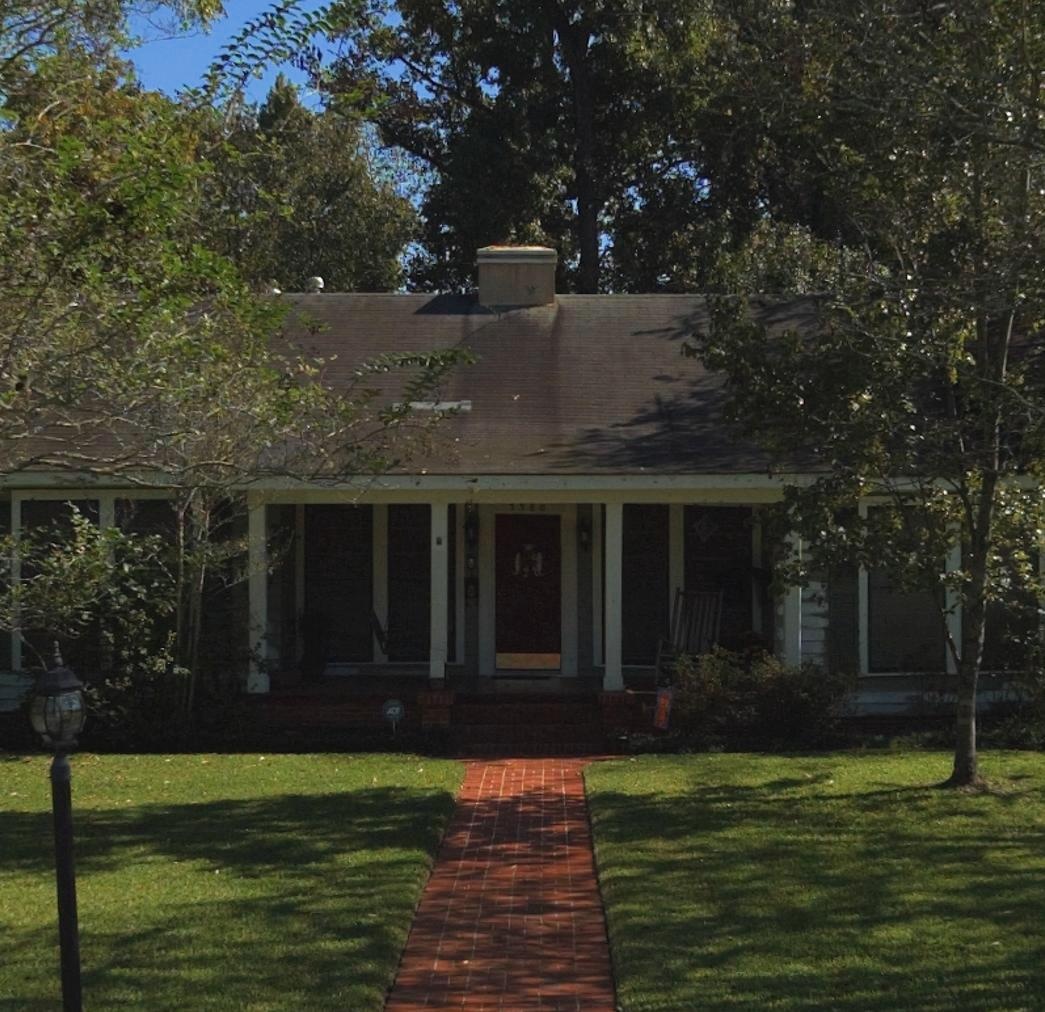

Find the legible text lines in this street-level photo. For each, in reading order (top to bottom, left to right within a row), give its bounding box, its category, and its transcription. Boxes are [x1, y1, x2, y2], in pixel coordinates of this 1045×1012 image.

[508, 502, 549, 513] StreetNumber: 556